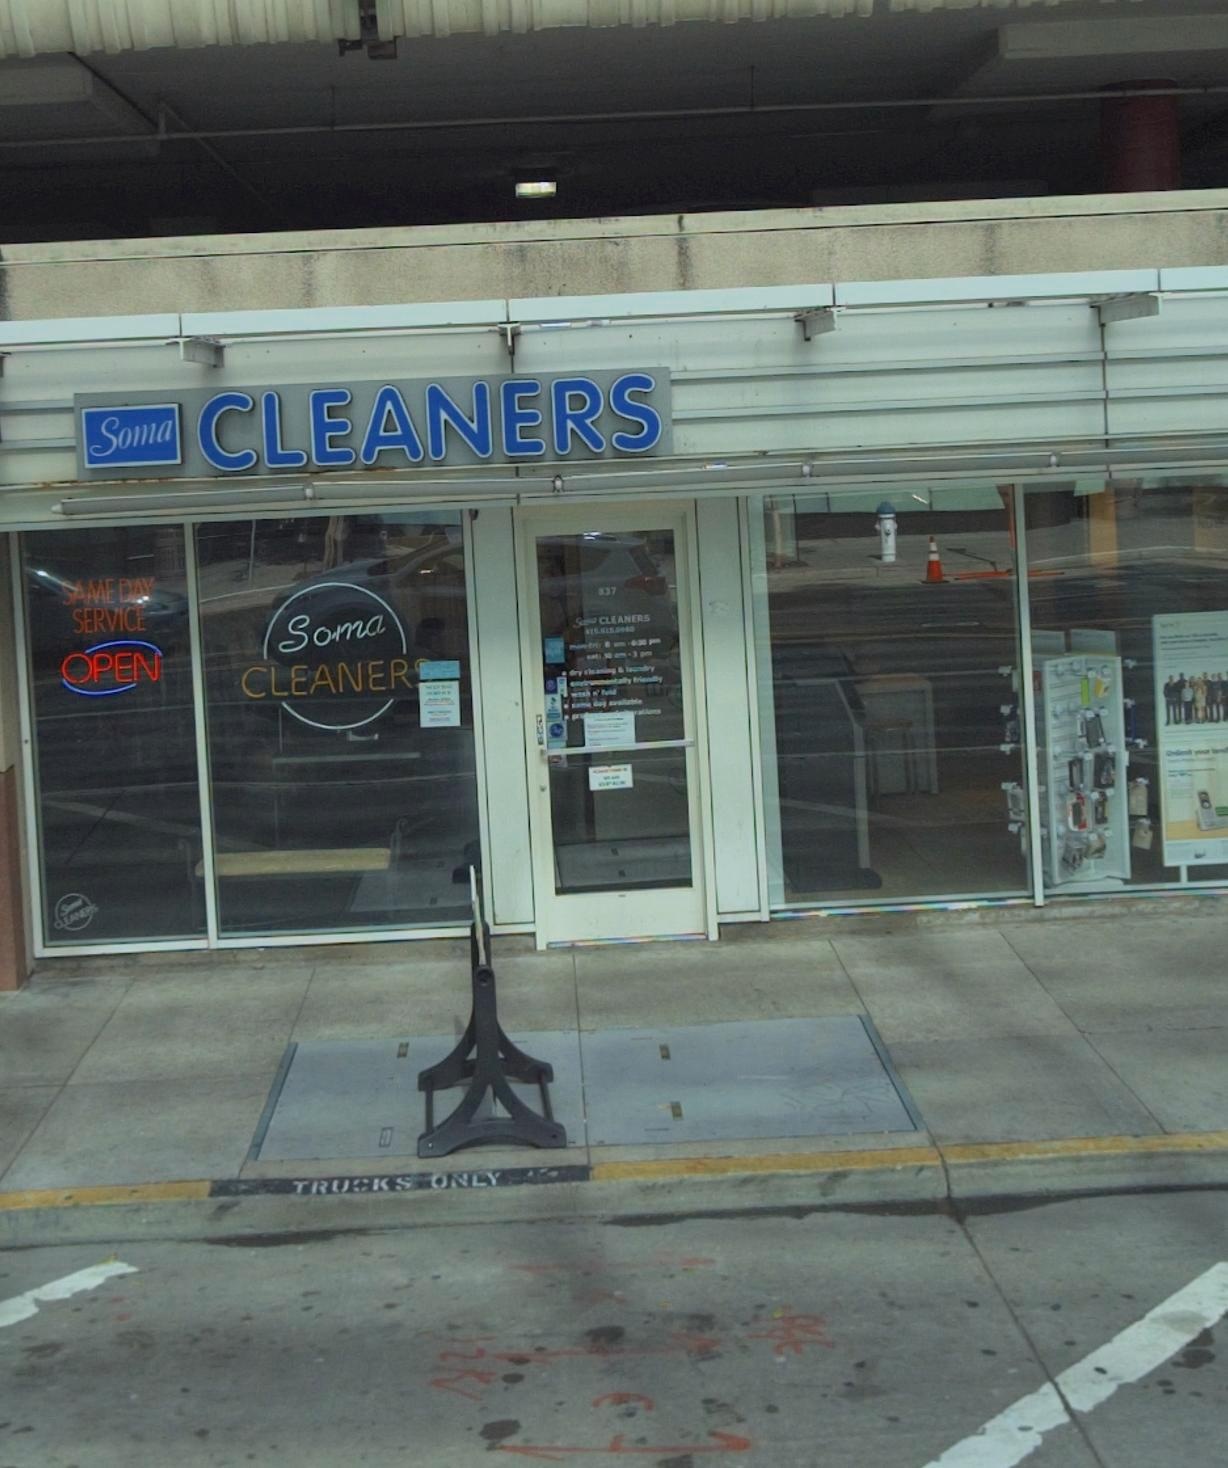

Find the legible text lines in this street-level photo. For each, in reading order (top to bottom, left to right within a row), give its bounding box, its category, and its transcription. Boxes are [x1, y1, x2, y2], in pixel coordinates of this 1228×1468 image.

[193, 368, 668, 478] BusinessName: CLEANERS
[86, 413, 178, 463] BusinessName: Soma
[57, 572, 158, 610] None: SAME DAY
[604, 585, 620, 597] StreetNumber: 37
[67, 602, 150, 638] None: SERVICE
[571, 613, 584, 632] None: S
[597, 612, 653, 628] BusinessName: CLEANERS
[274, 607, 395, 661] BusinessName: Soma
[629, 635, 664, 649] None: 6:*0 pm
[631, 648, 654, 660] None: 3 pm
[58, 647, 164, 687] None: OPEN
[238, 655, 417, 703] BusinessName: CLEANER
[567, 667, 583, 679] None: dry
[642, 664, 657, 675] None: dry
[635, 674, 665, 686] None: riendly
[569, 686, 603, 700] None: w*sh n'
[536, 713, 544, 726] None: P
[571, 712, 578, 723] None: p
[58, 900, 71, 919] None: S
[50, 901, 103, 934] None: CLEANERS
[288, 1167, 508, 1199] None: TRUCKS ONLY